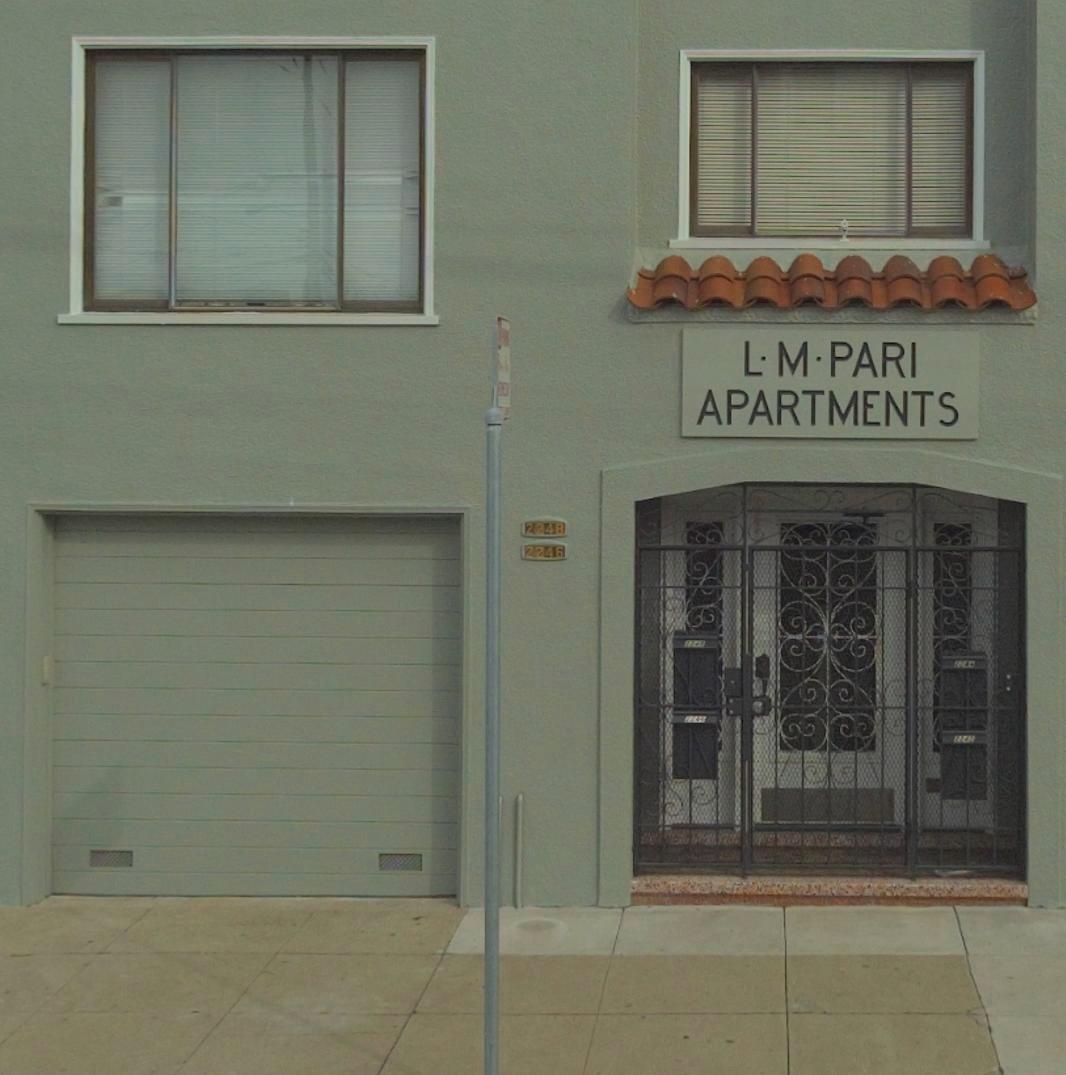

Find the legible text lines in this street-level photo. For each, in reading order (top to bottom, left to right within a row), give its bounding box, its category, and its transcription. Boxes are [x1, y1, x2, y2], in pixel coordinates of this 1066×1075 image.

[742, 338, 919, 380] BusinessName: L*M*PARI
[693, 387, 963, 428] BusinessName: APARTMENTS
[525, 522, 565, 535] StreetNumber: 2248
[524, 545, 564, 558] StreetNumber: 2246